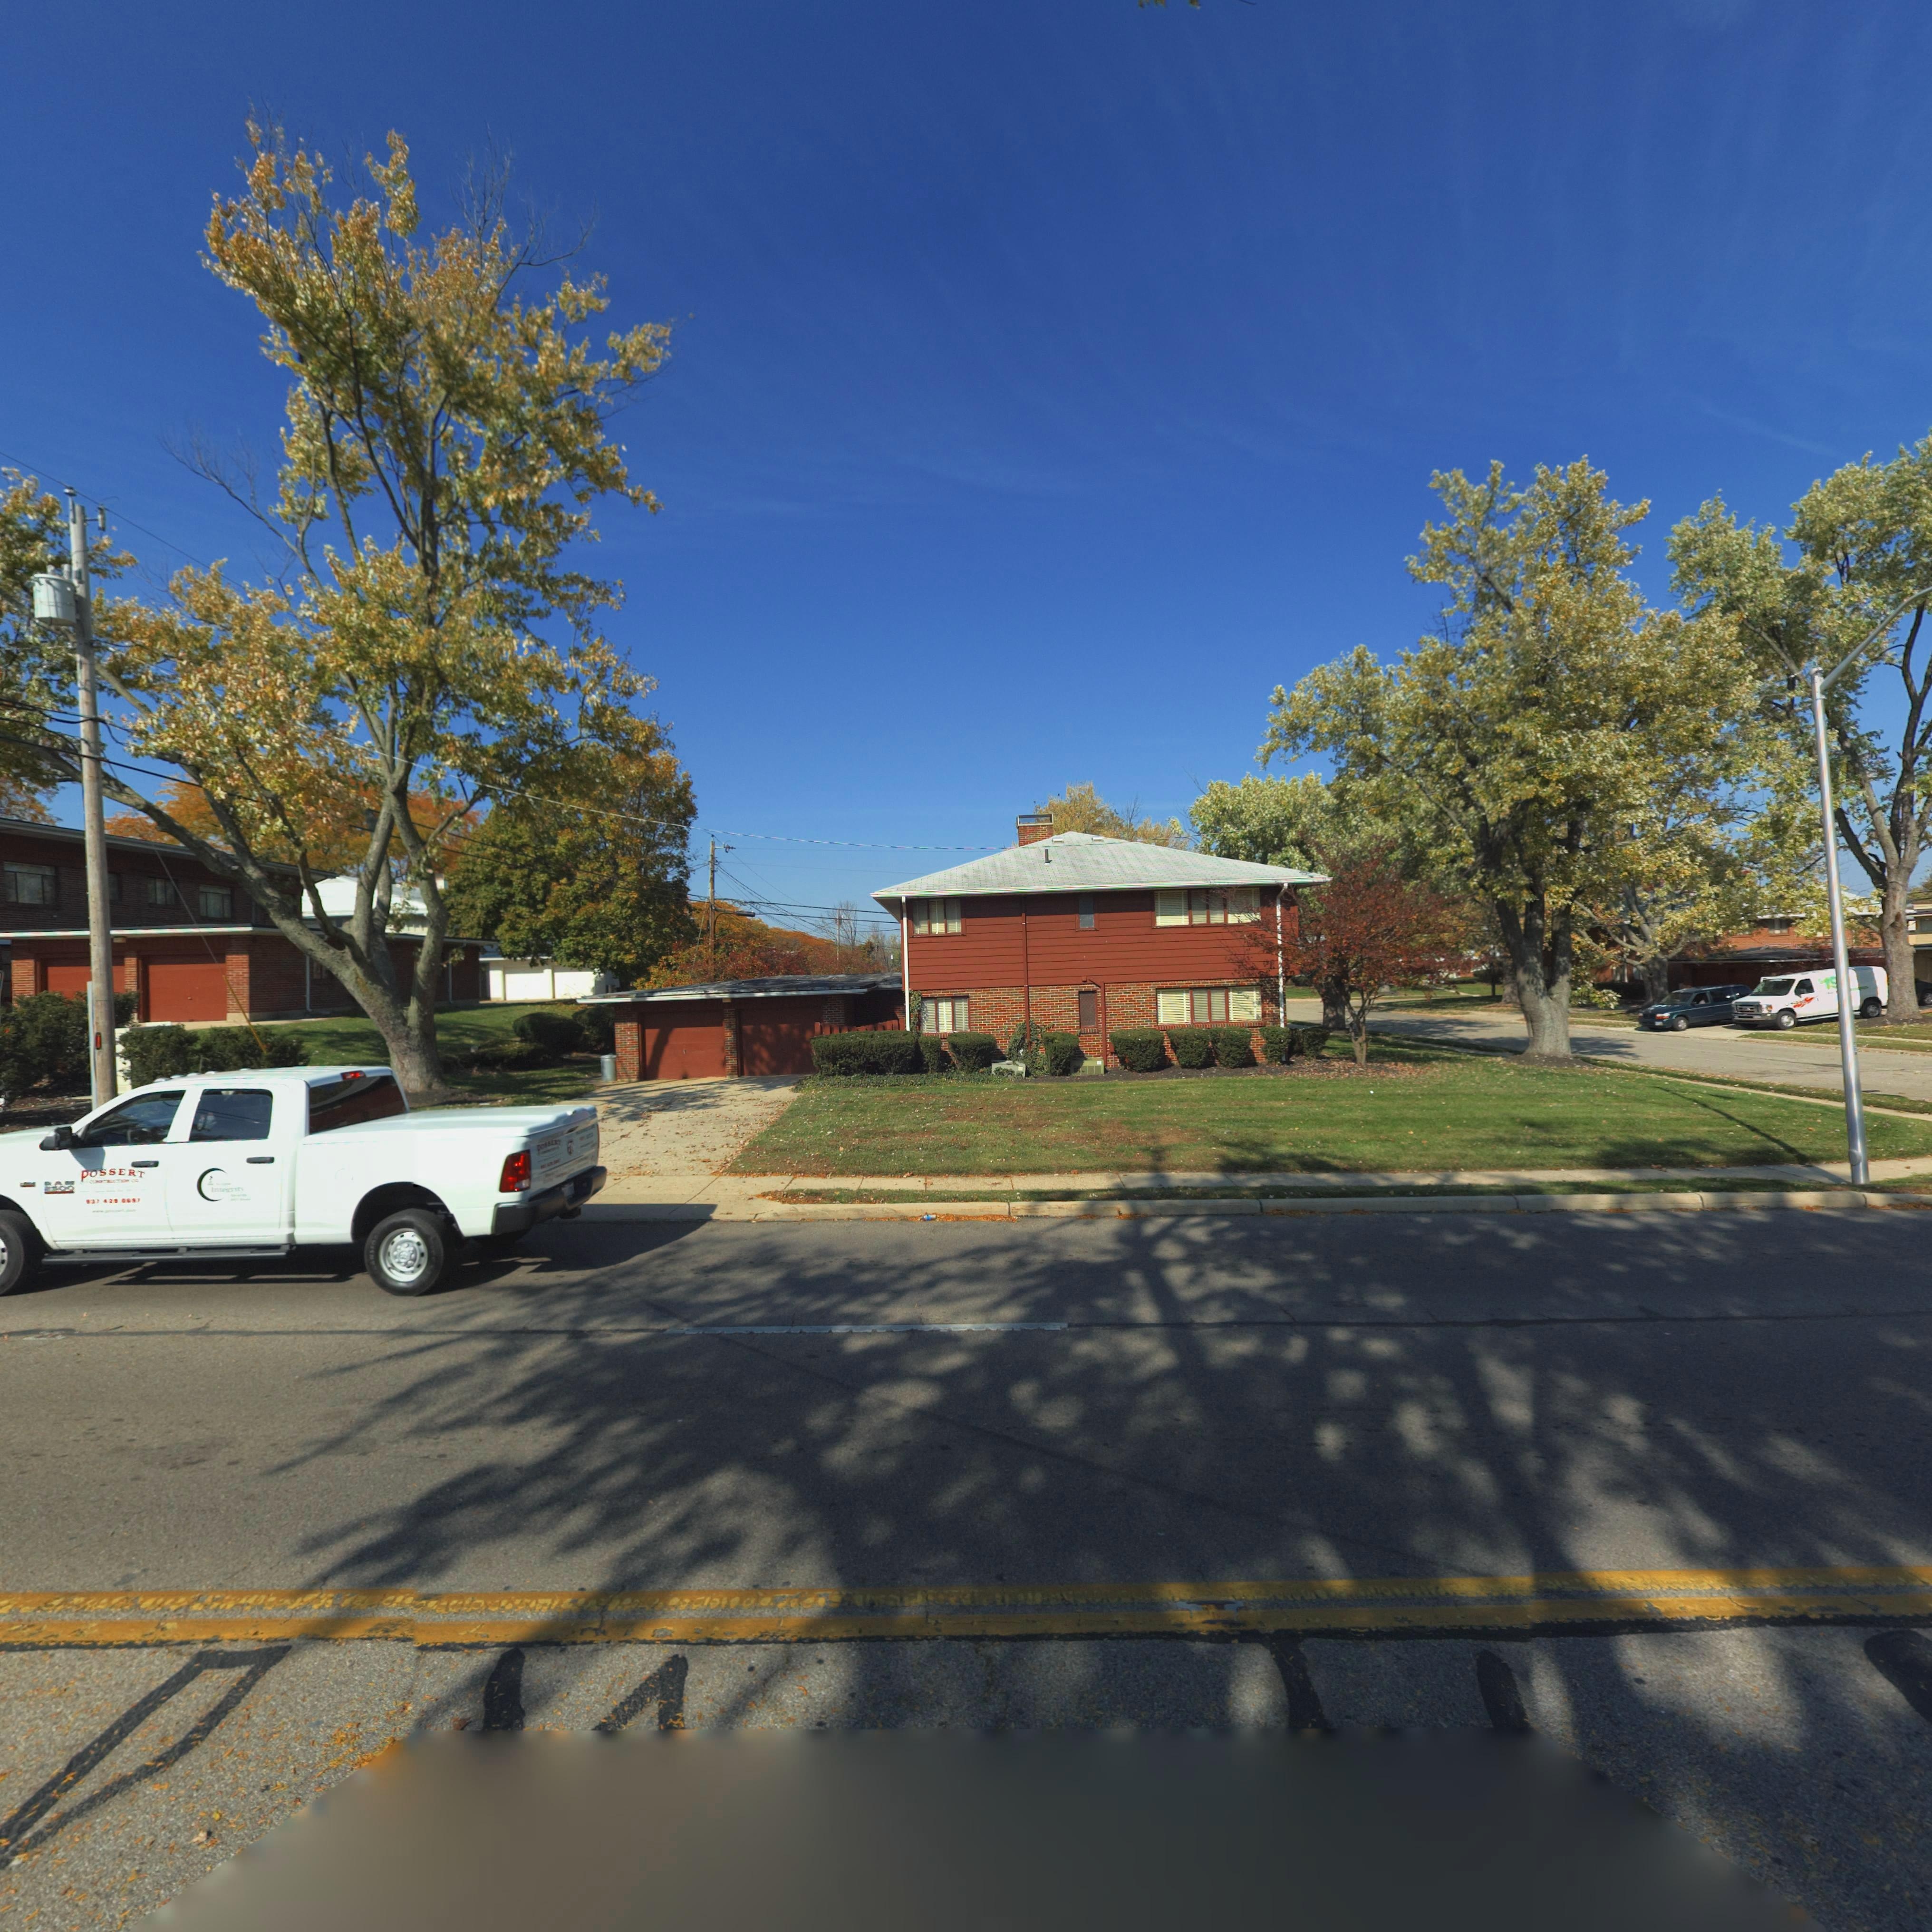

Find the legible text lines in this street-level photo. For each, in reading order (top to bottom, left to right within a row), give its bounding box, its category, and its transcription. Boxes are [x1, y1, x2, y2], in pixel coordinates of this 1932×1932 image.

[1822, 976, 1831, 991] None: 1